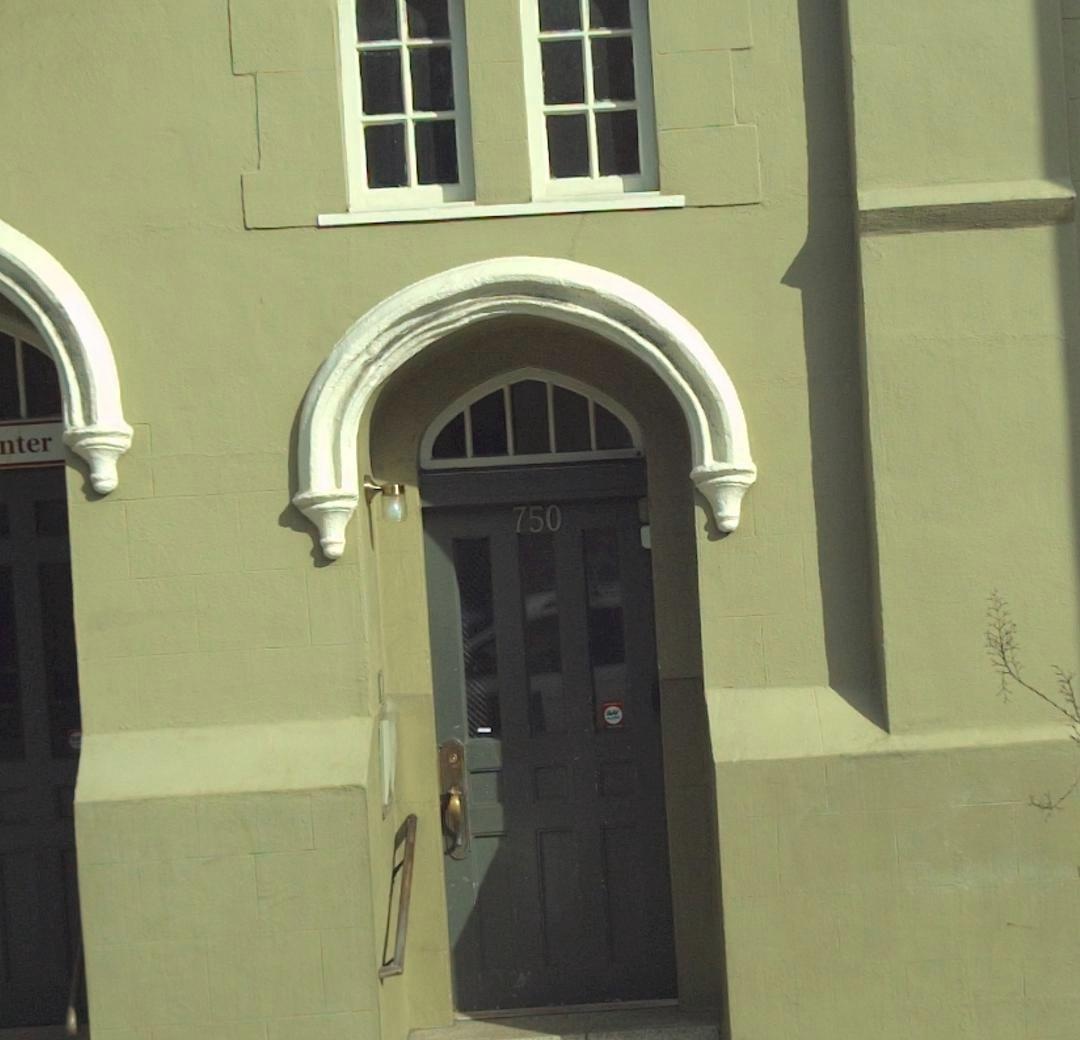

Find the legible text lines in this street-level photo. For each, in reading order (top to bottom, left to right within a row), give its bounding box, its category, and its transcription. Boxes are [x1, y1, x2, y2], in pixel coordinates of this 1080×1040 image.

[14, 434, 54, 456] None: ter
[511, 503, 564, 534] StreetNumber: 750